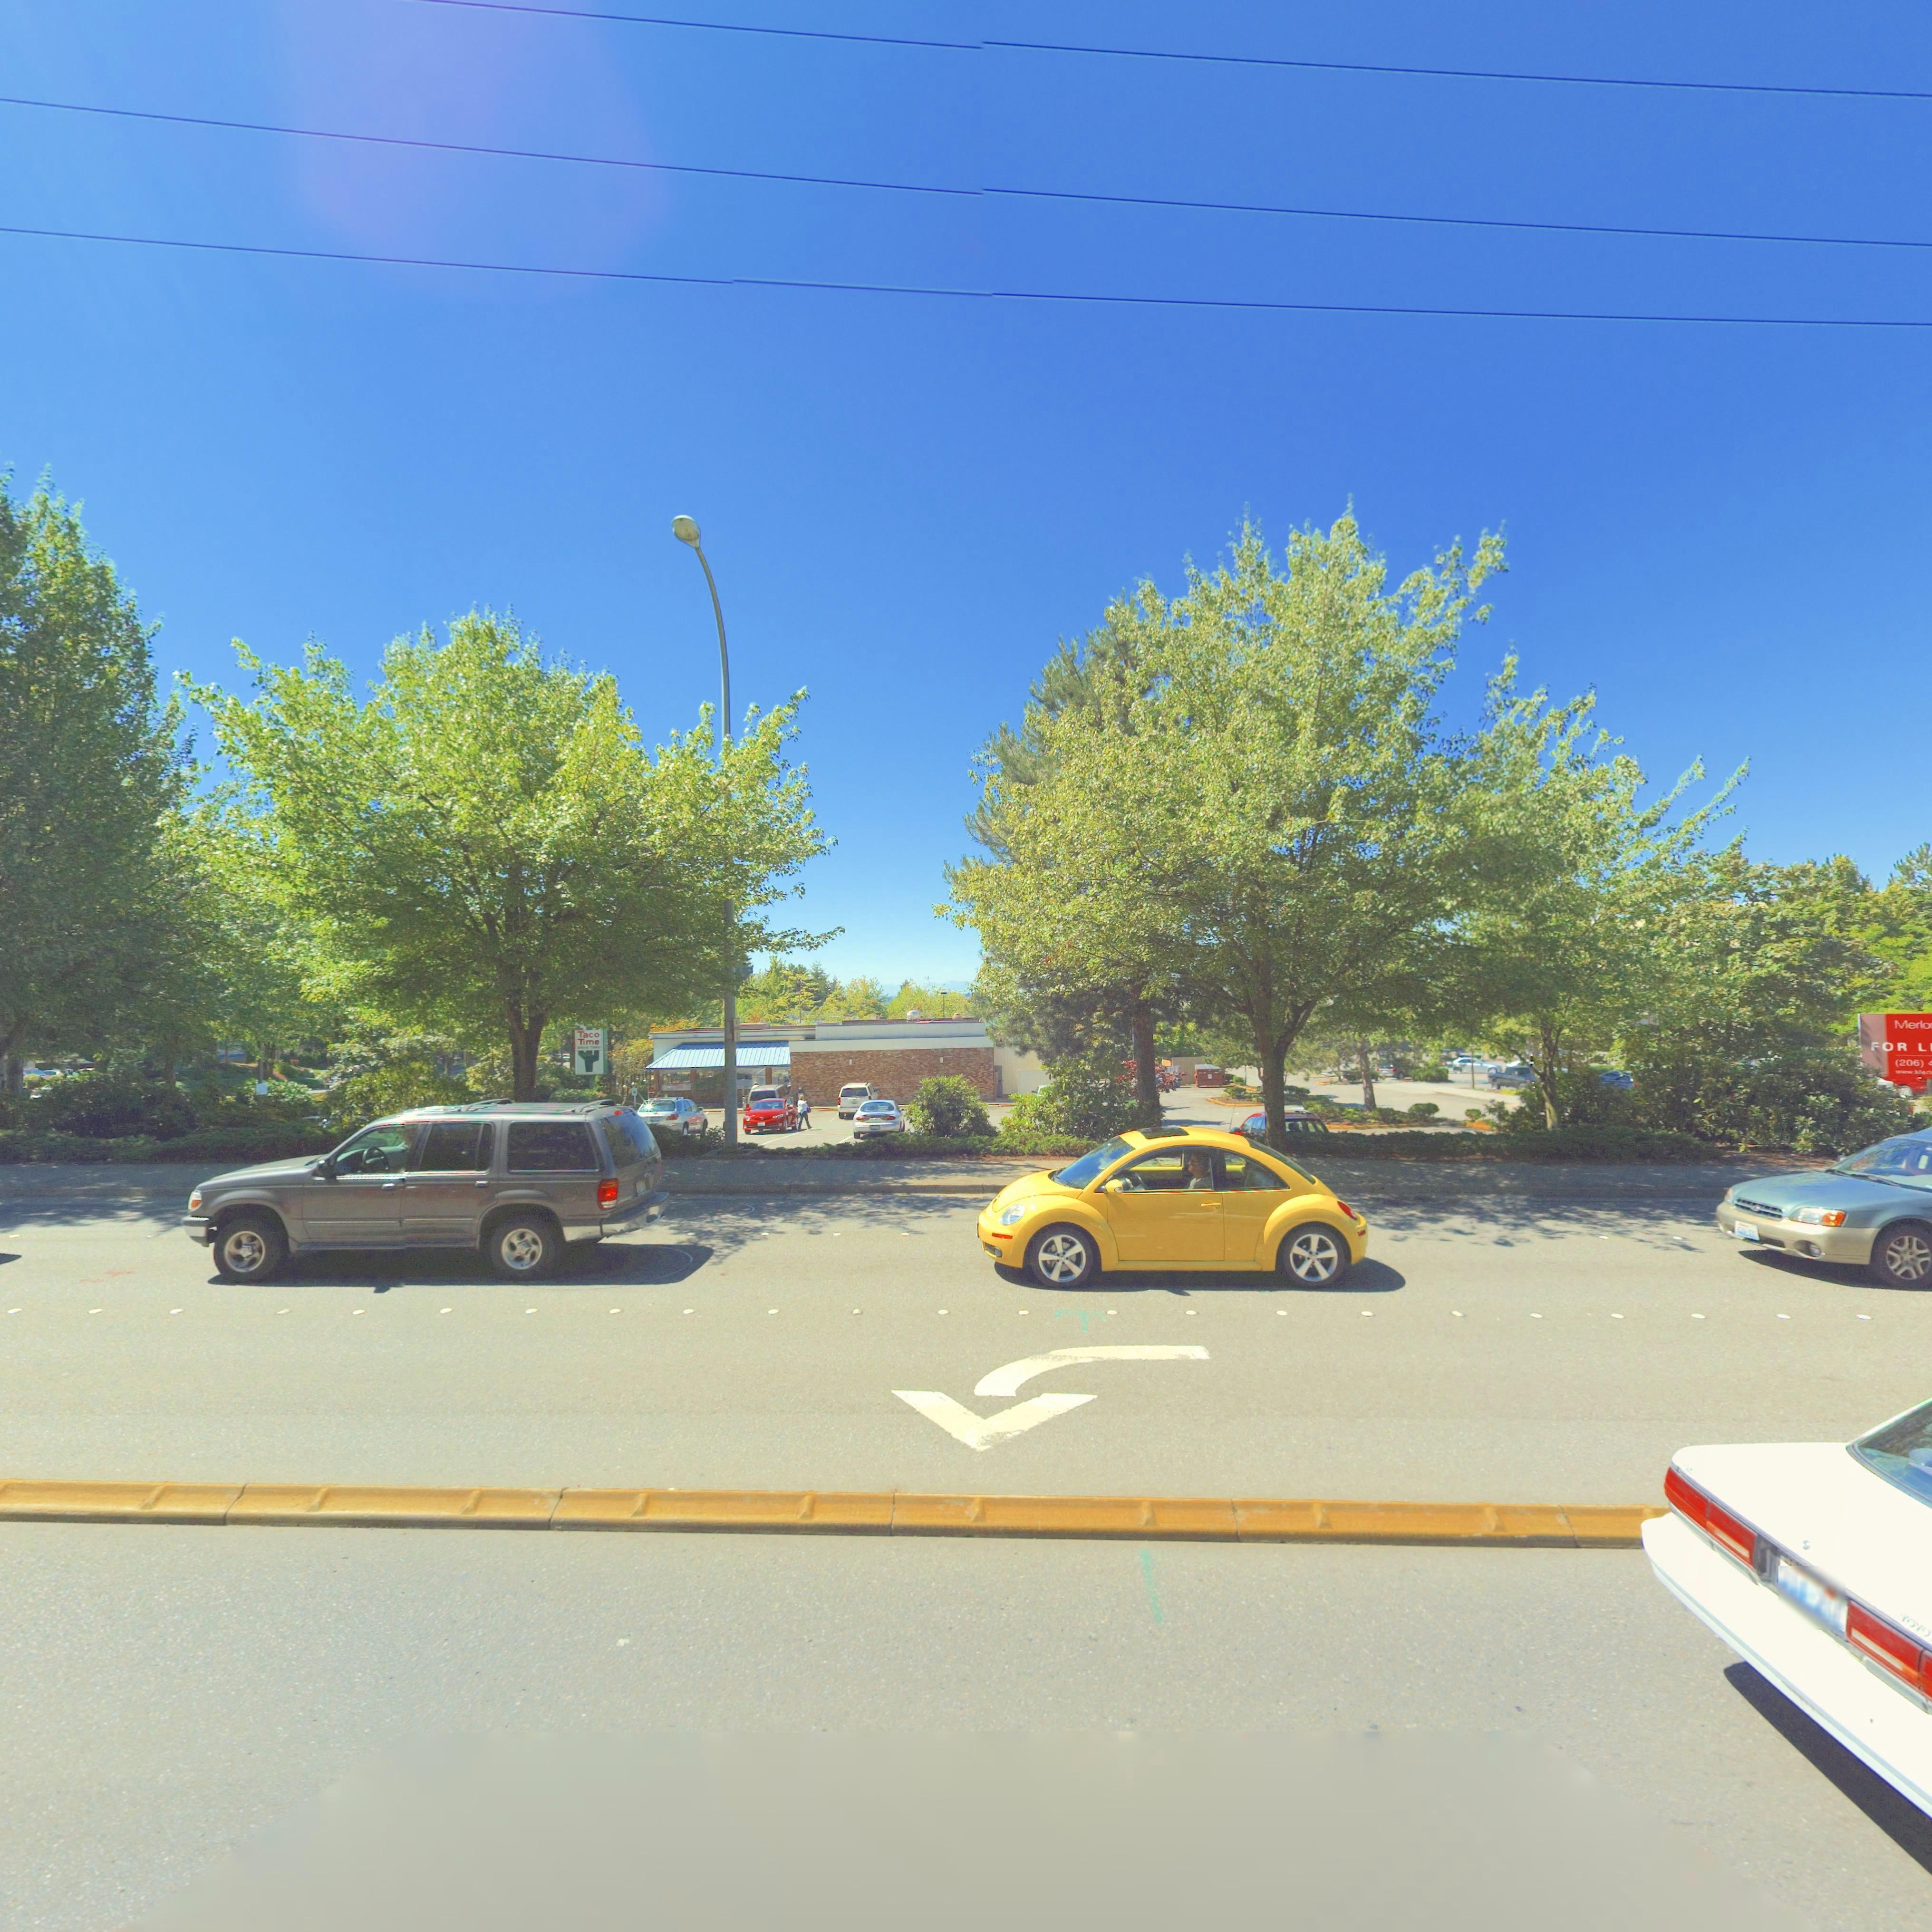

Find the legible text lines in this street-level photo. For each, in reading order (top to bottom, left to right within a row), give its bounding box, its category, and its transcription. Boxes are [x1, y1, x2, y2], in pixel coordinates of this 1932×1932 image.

[577, 1030, 600, 1038] BusinessName: Taco
[577, 1038, 599, 1045] BusinessName: Time